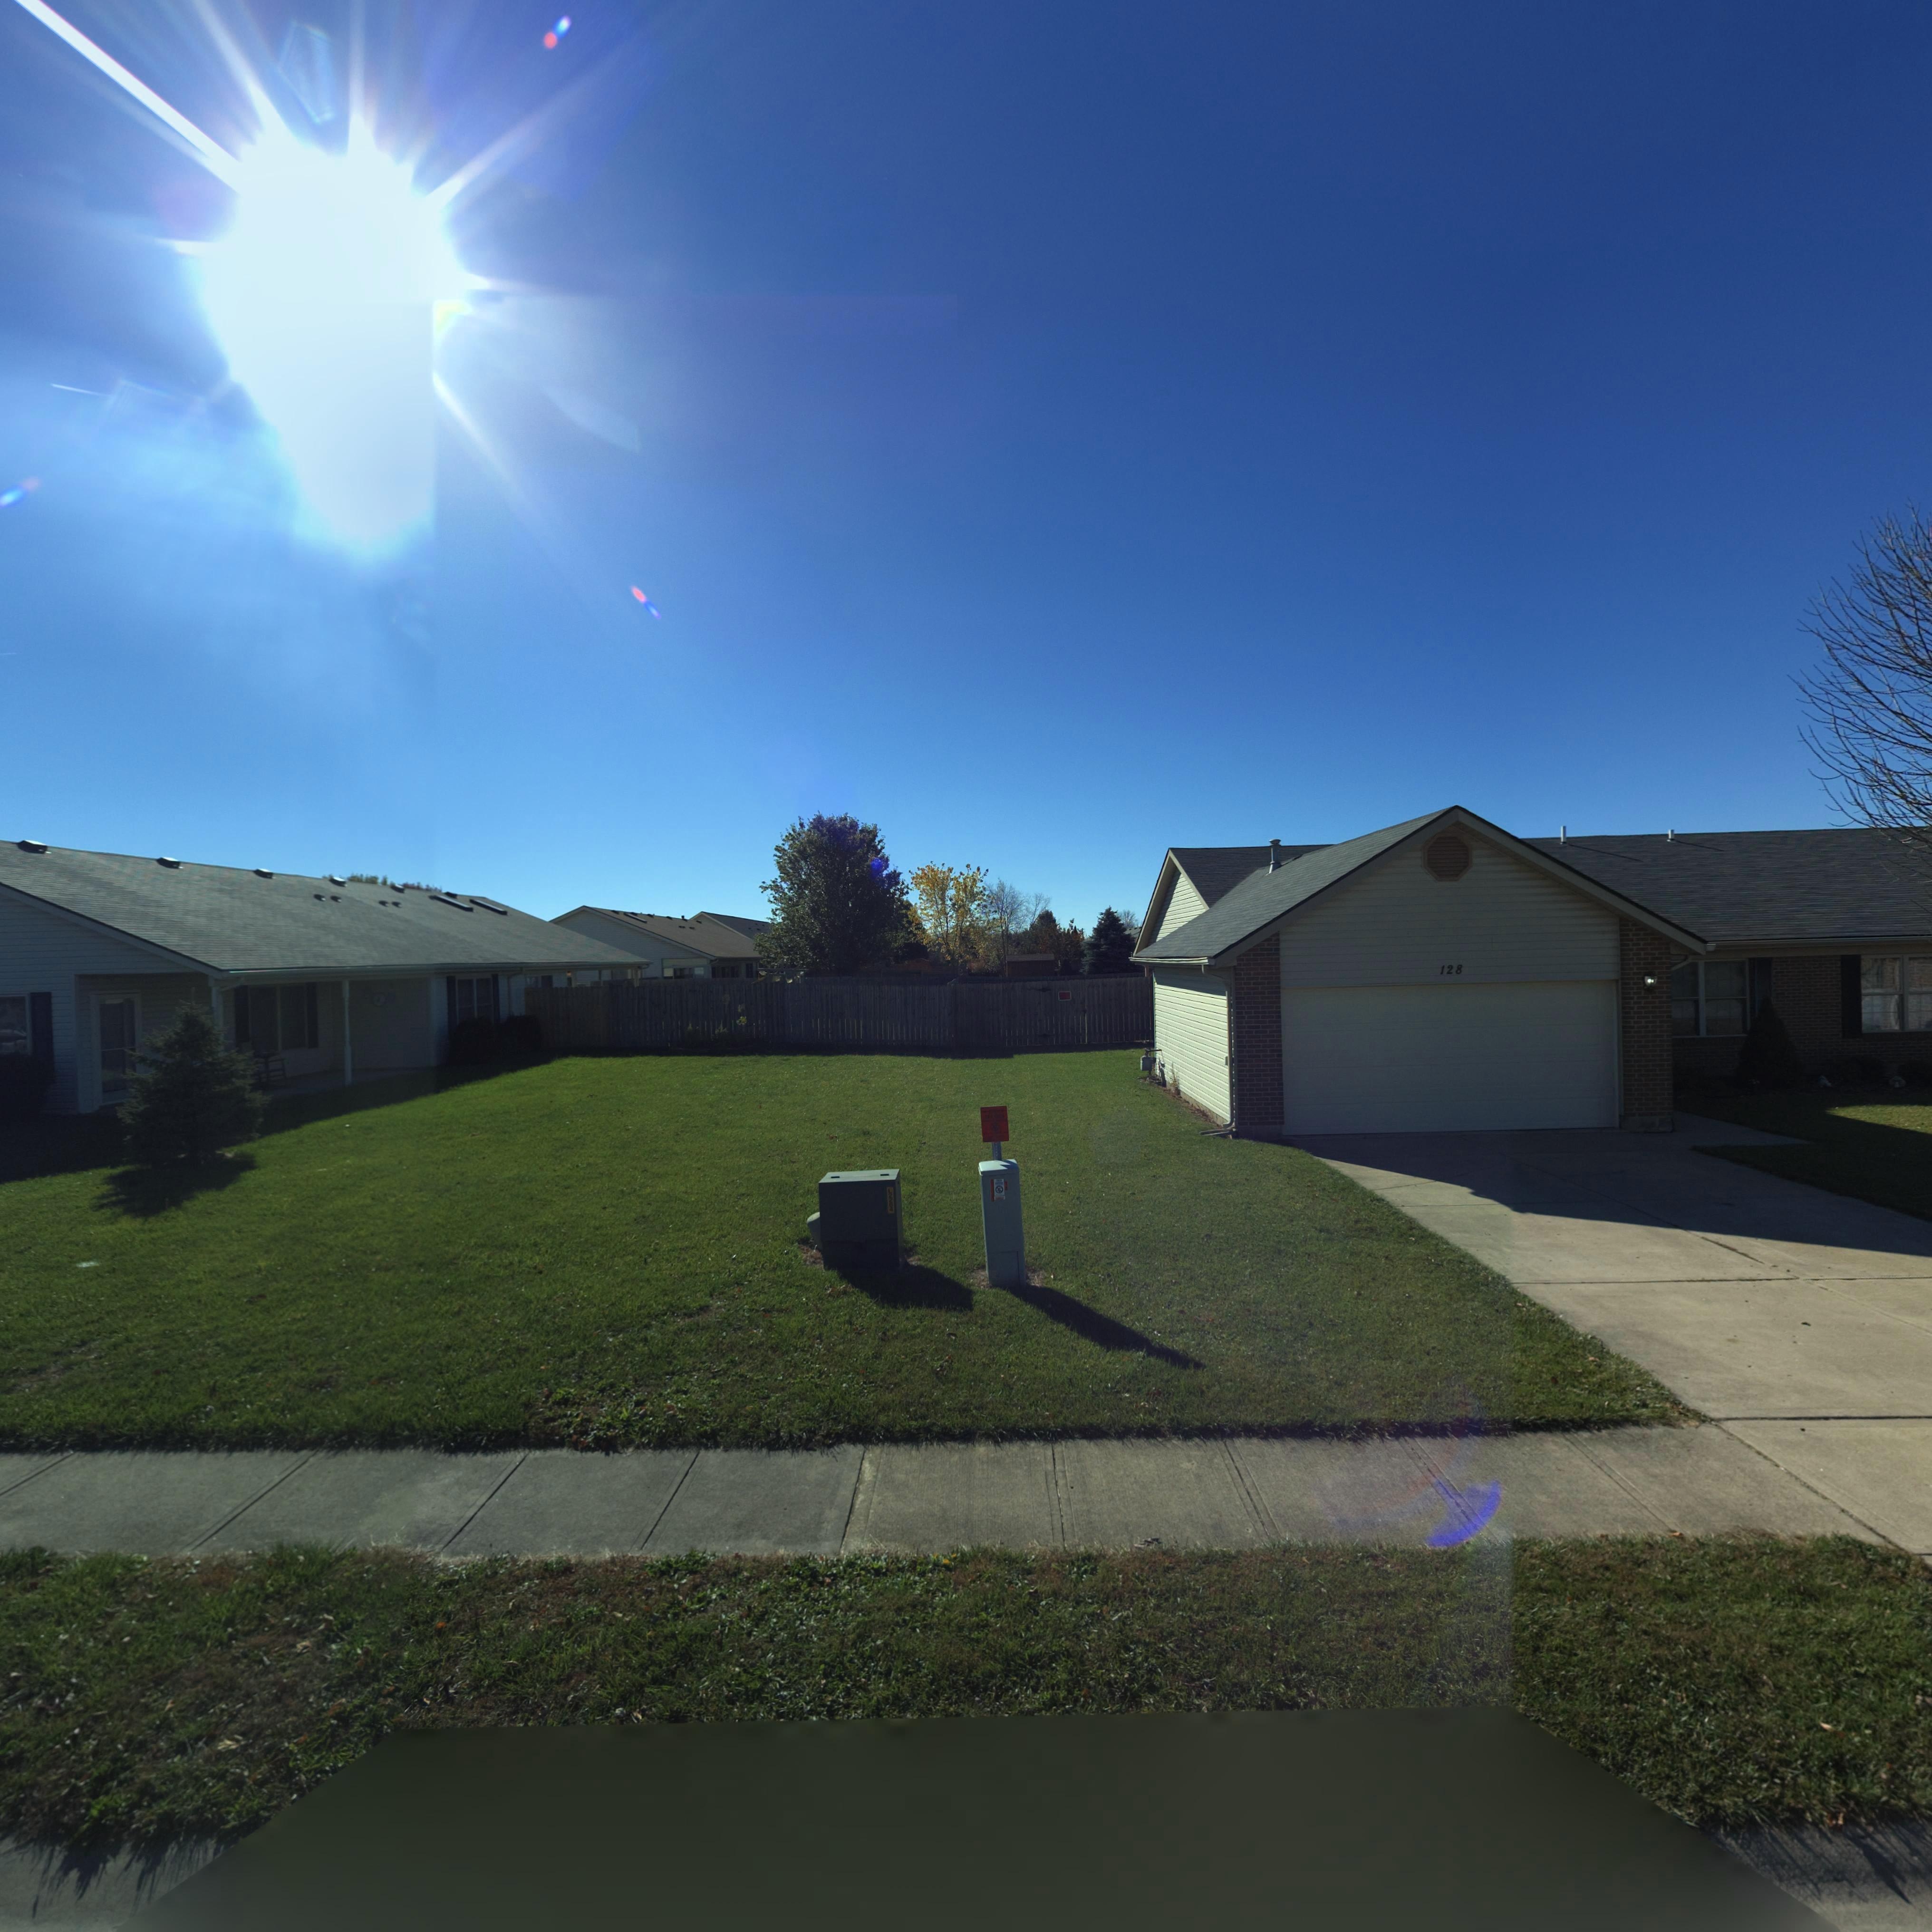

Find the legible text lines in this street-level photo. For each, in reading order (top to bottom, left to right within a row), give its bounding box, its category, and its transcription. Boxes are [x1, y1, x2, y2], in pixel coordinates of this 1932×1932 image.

[1439, 964, 1463, 975] StreetNumber: 128